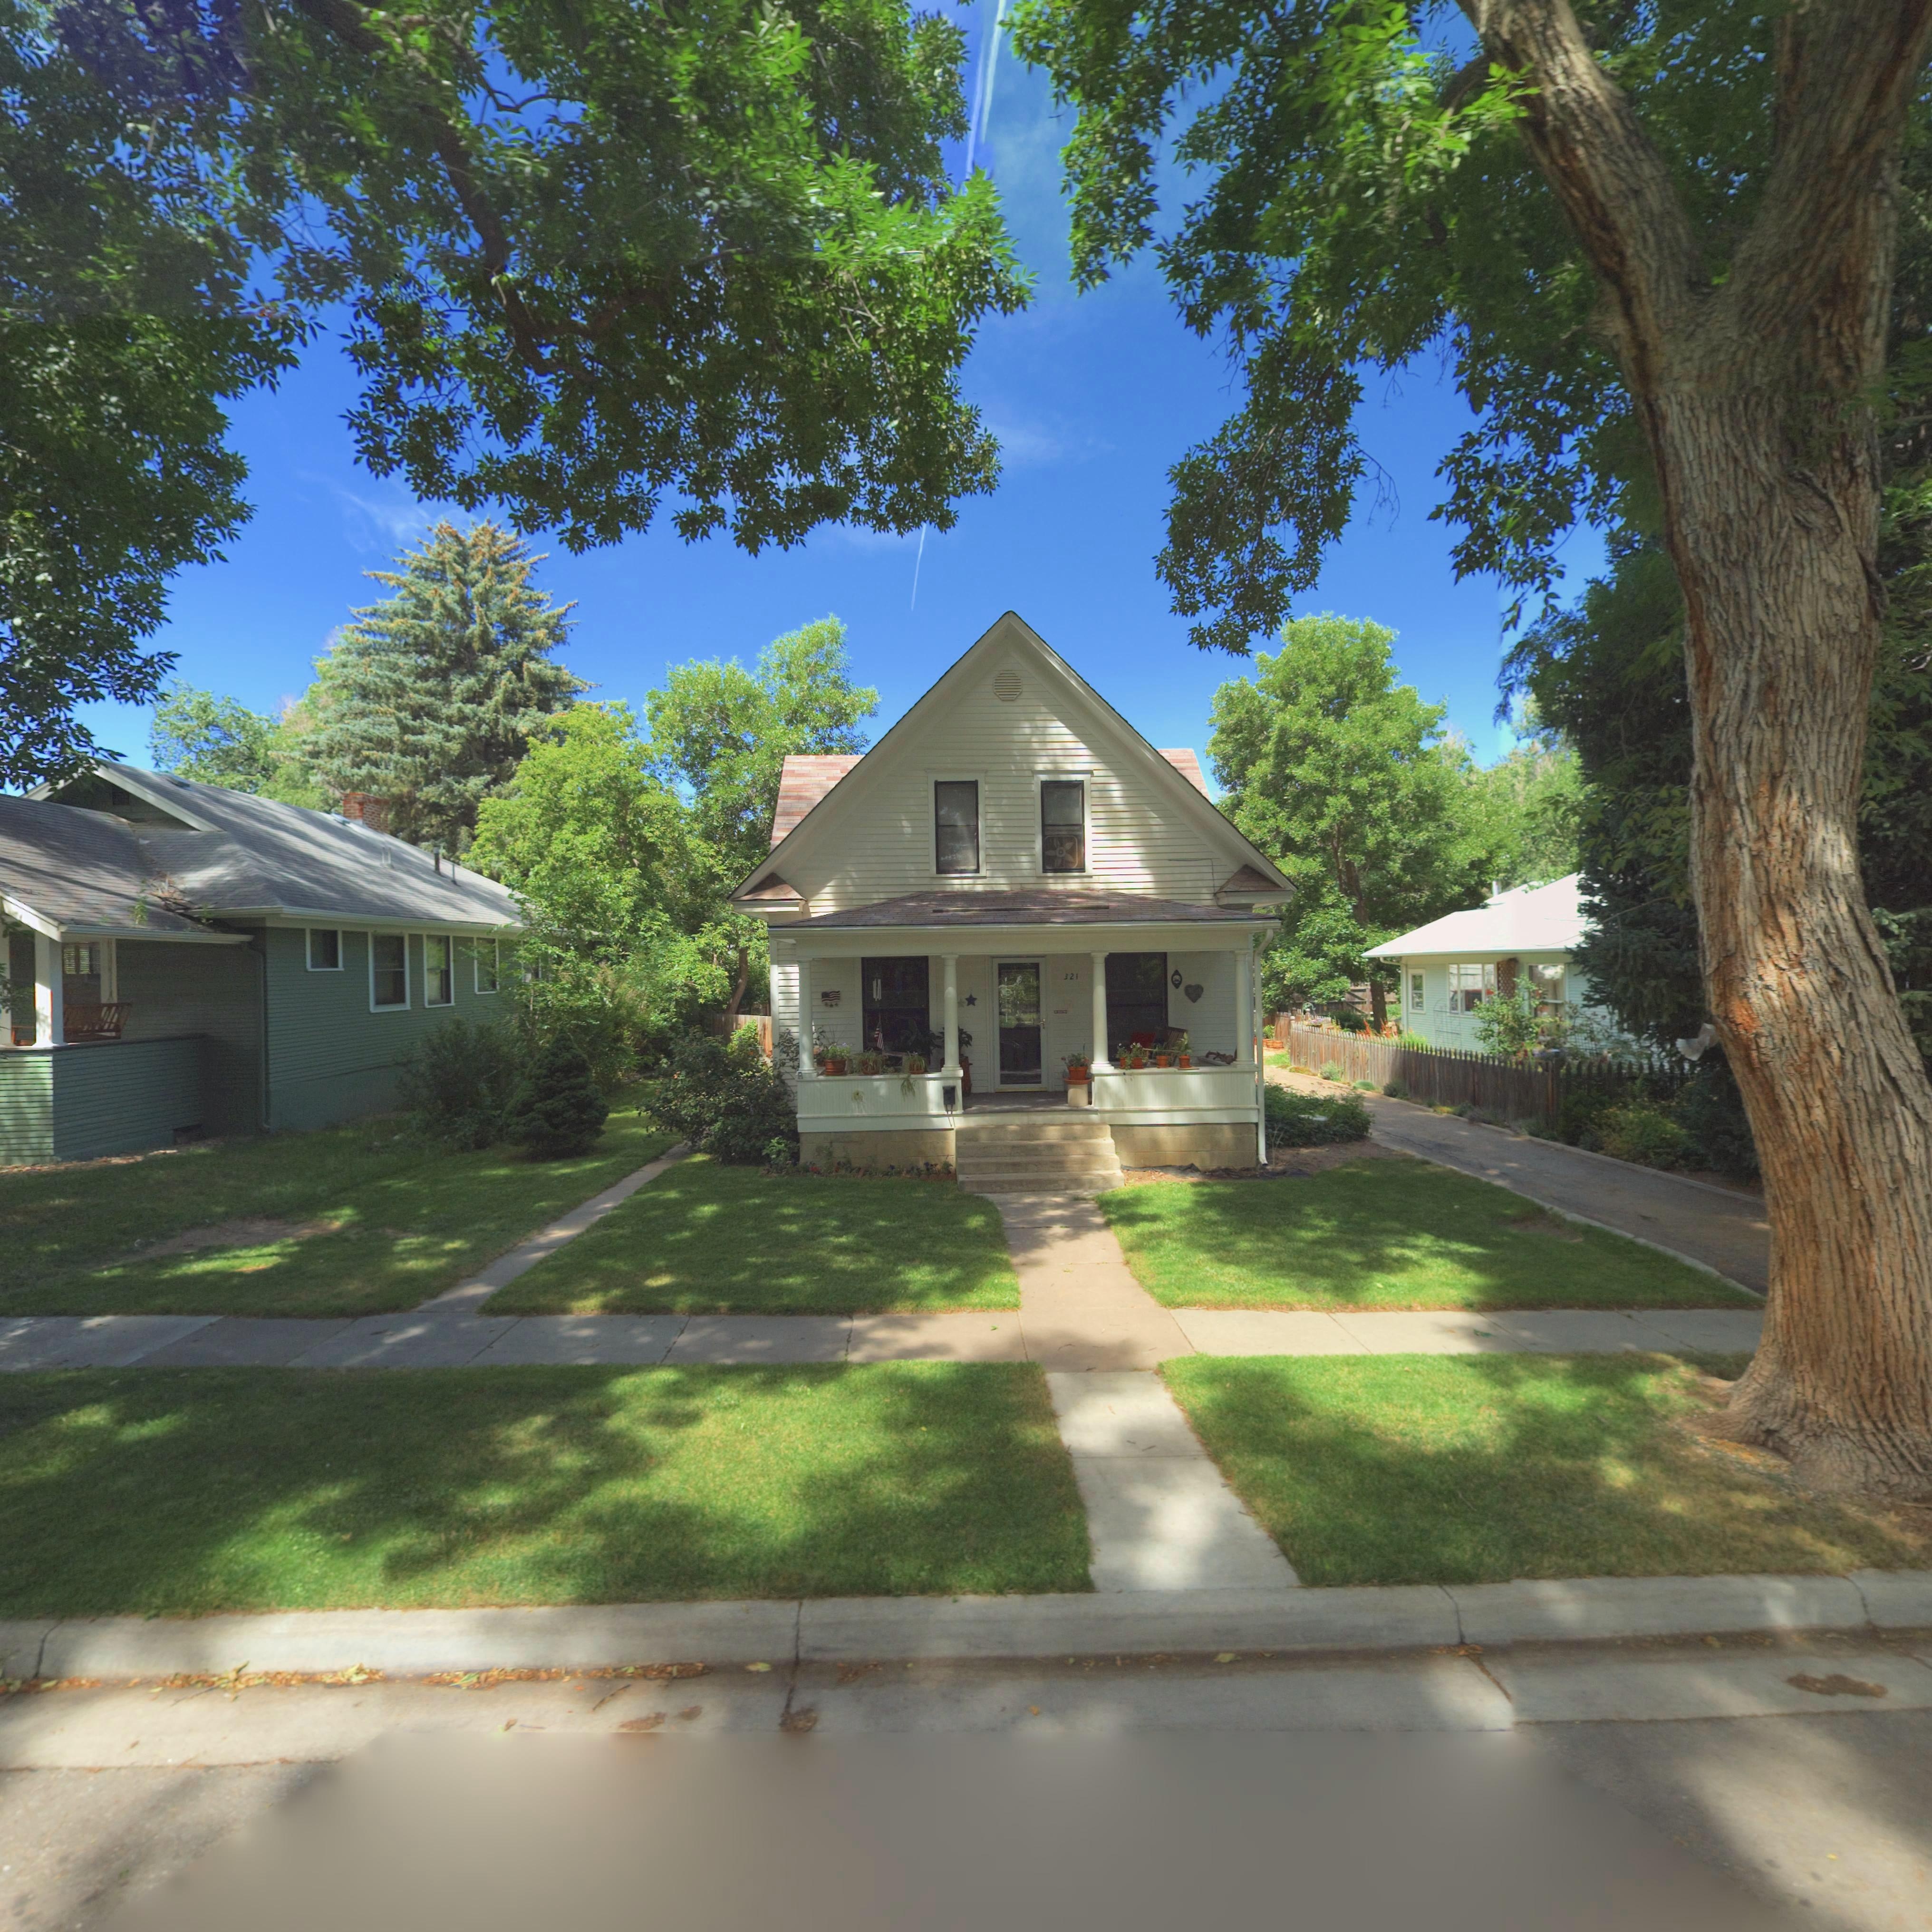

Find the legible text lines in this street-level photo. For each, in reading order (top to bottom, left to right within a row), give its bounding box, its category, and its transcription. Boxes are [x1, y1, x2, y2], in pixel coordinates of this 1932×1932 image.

[1063, 973, 1078, 980] StreetNumber: 321